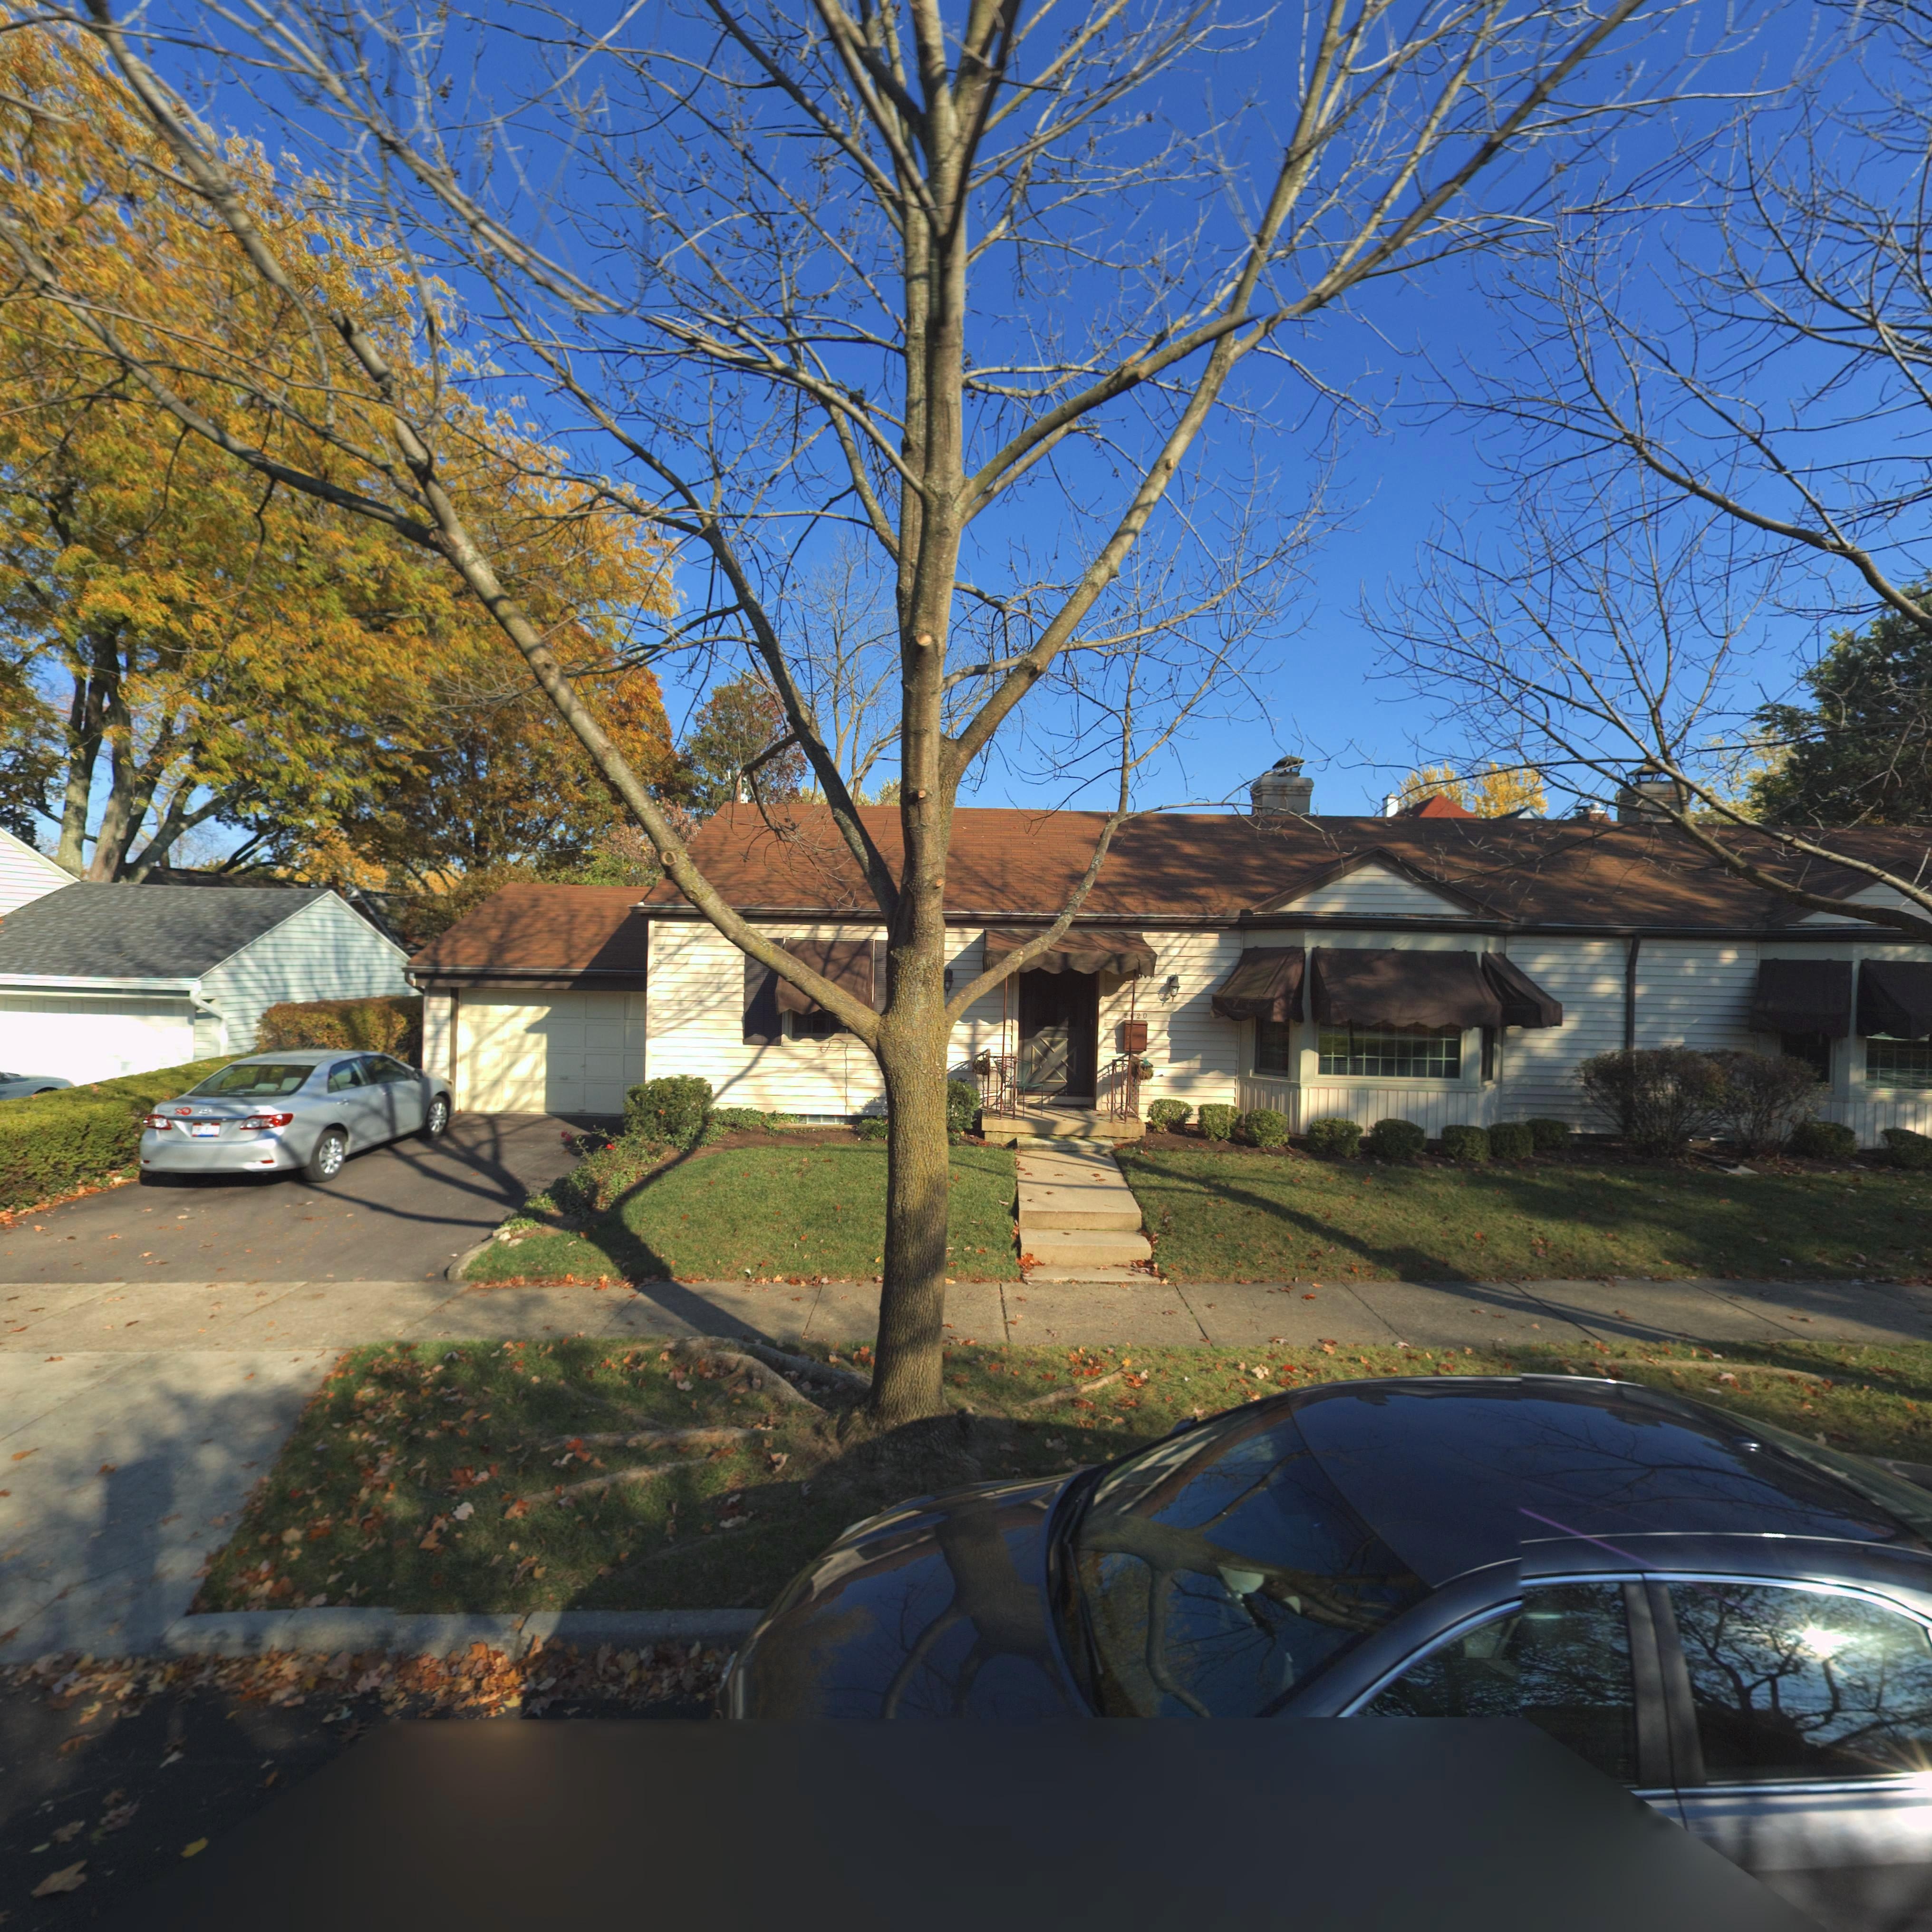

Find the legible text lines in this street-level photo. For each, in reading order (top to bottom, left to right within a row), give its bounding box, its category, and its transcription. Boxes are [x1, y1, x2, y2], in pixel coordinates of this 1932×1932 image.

[1122, 1011, 1148, 1020] StreetNumber: 2*20